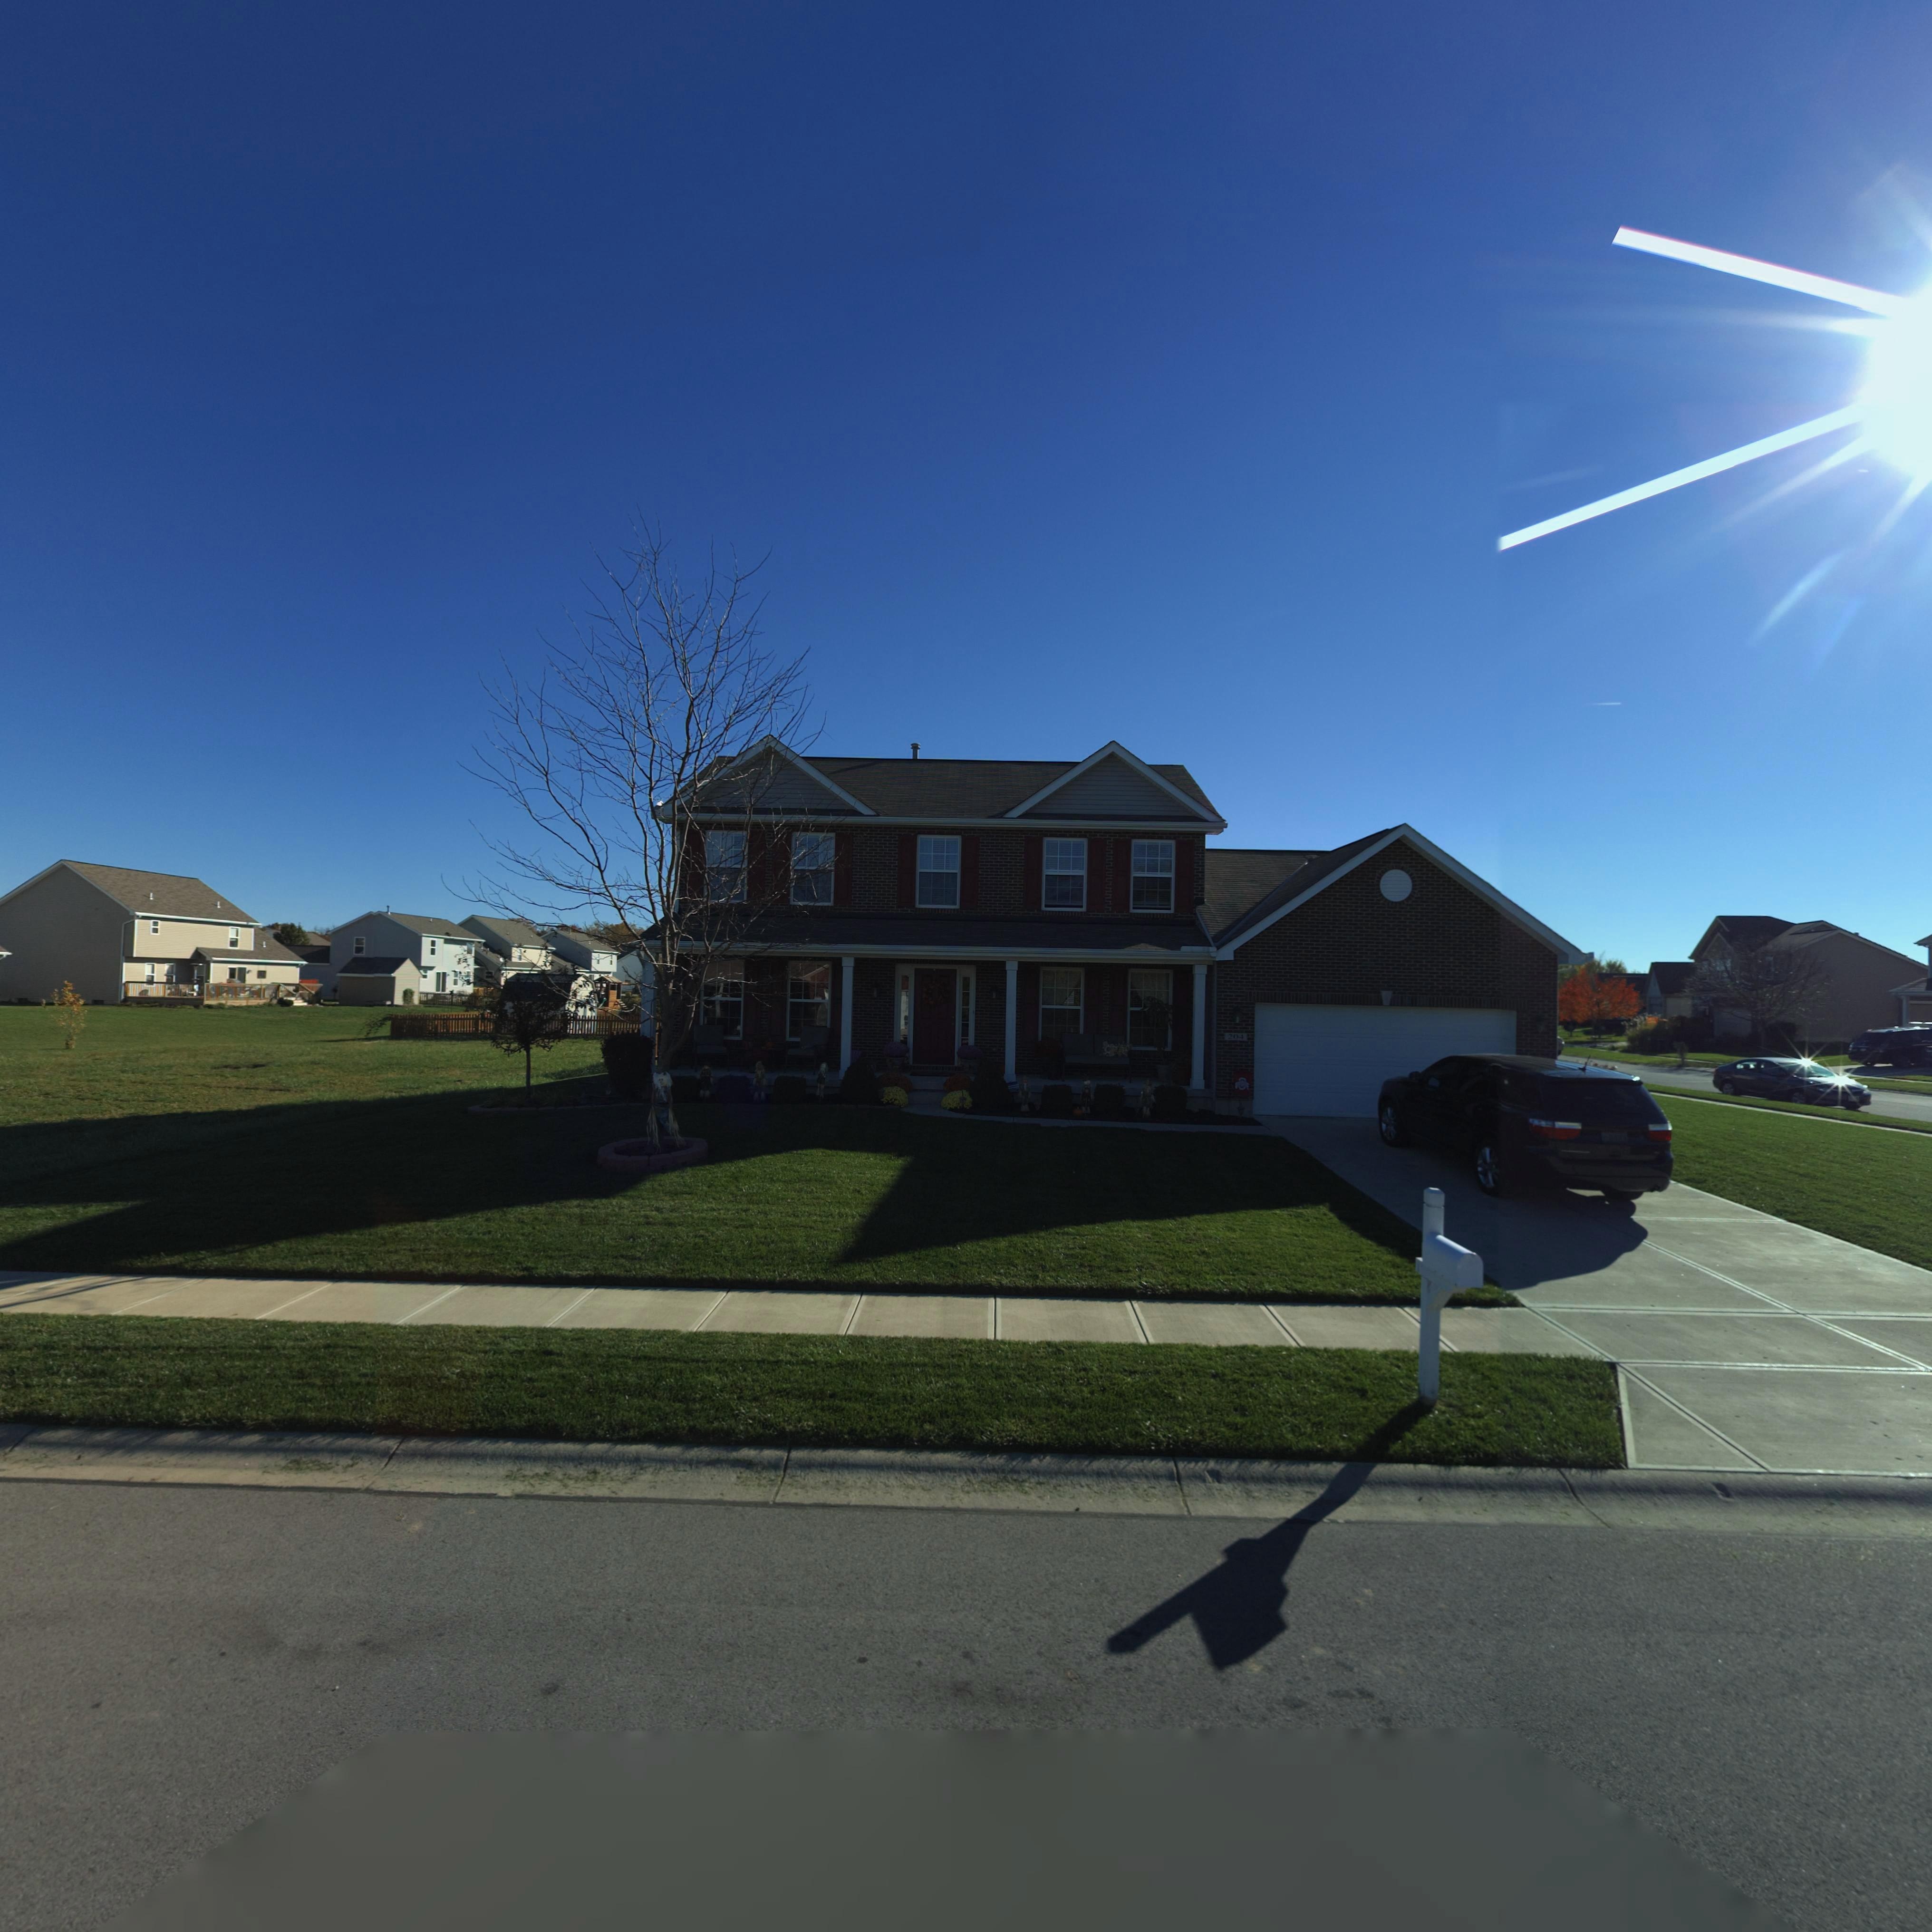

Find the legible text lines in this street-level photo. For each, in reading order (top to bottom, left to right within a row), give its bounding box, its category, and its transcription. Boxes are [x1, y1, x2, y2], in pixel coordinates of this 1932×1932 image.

[1227, 1033, 1245, 1041] StreetNumber: 204